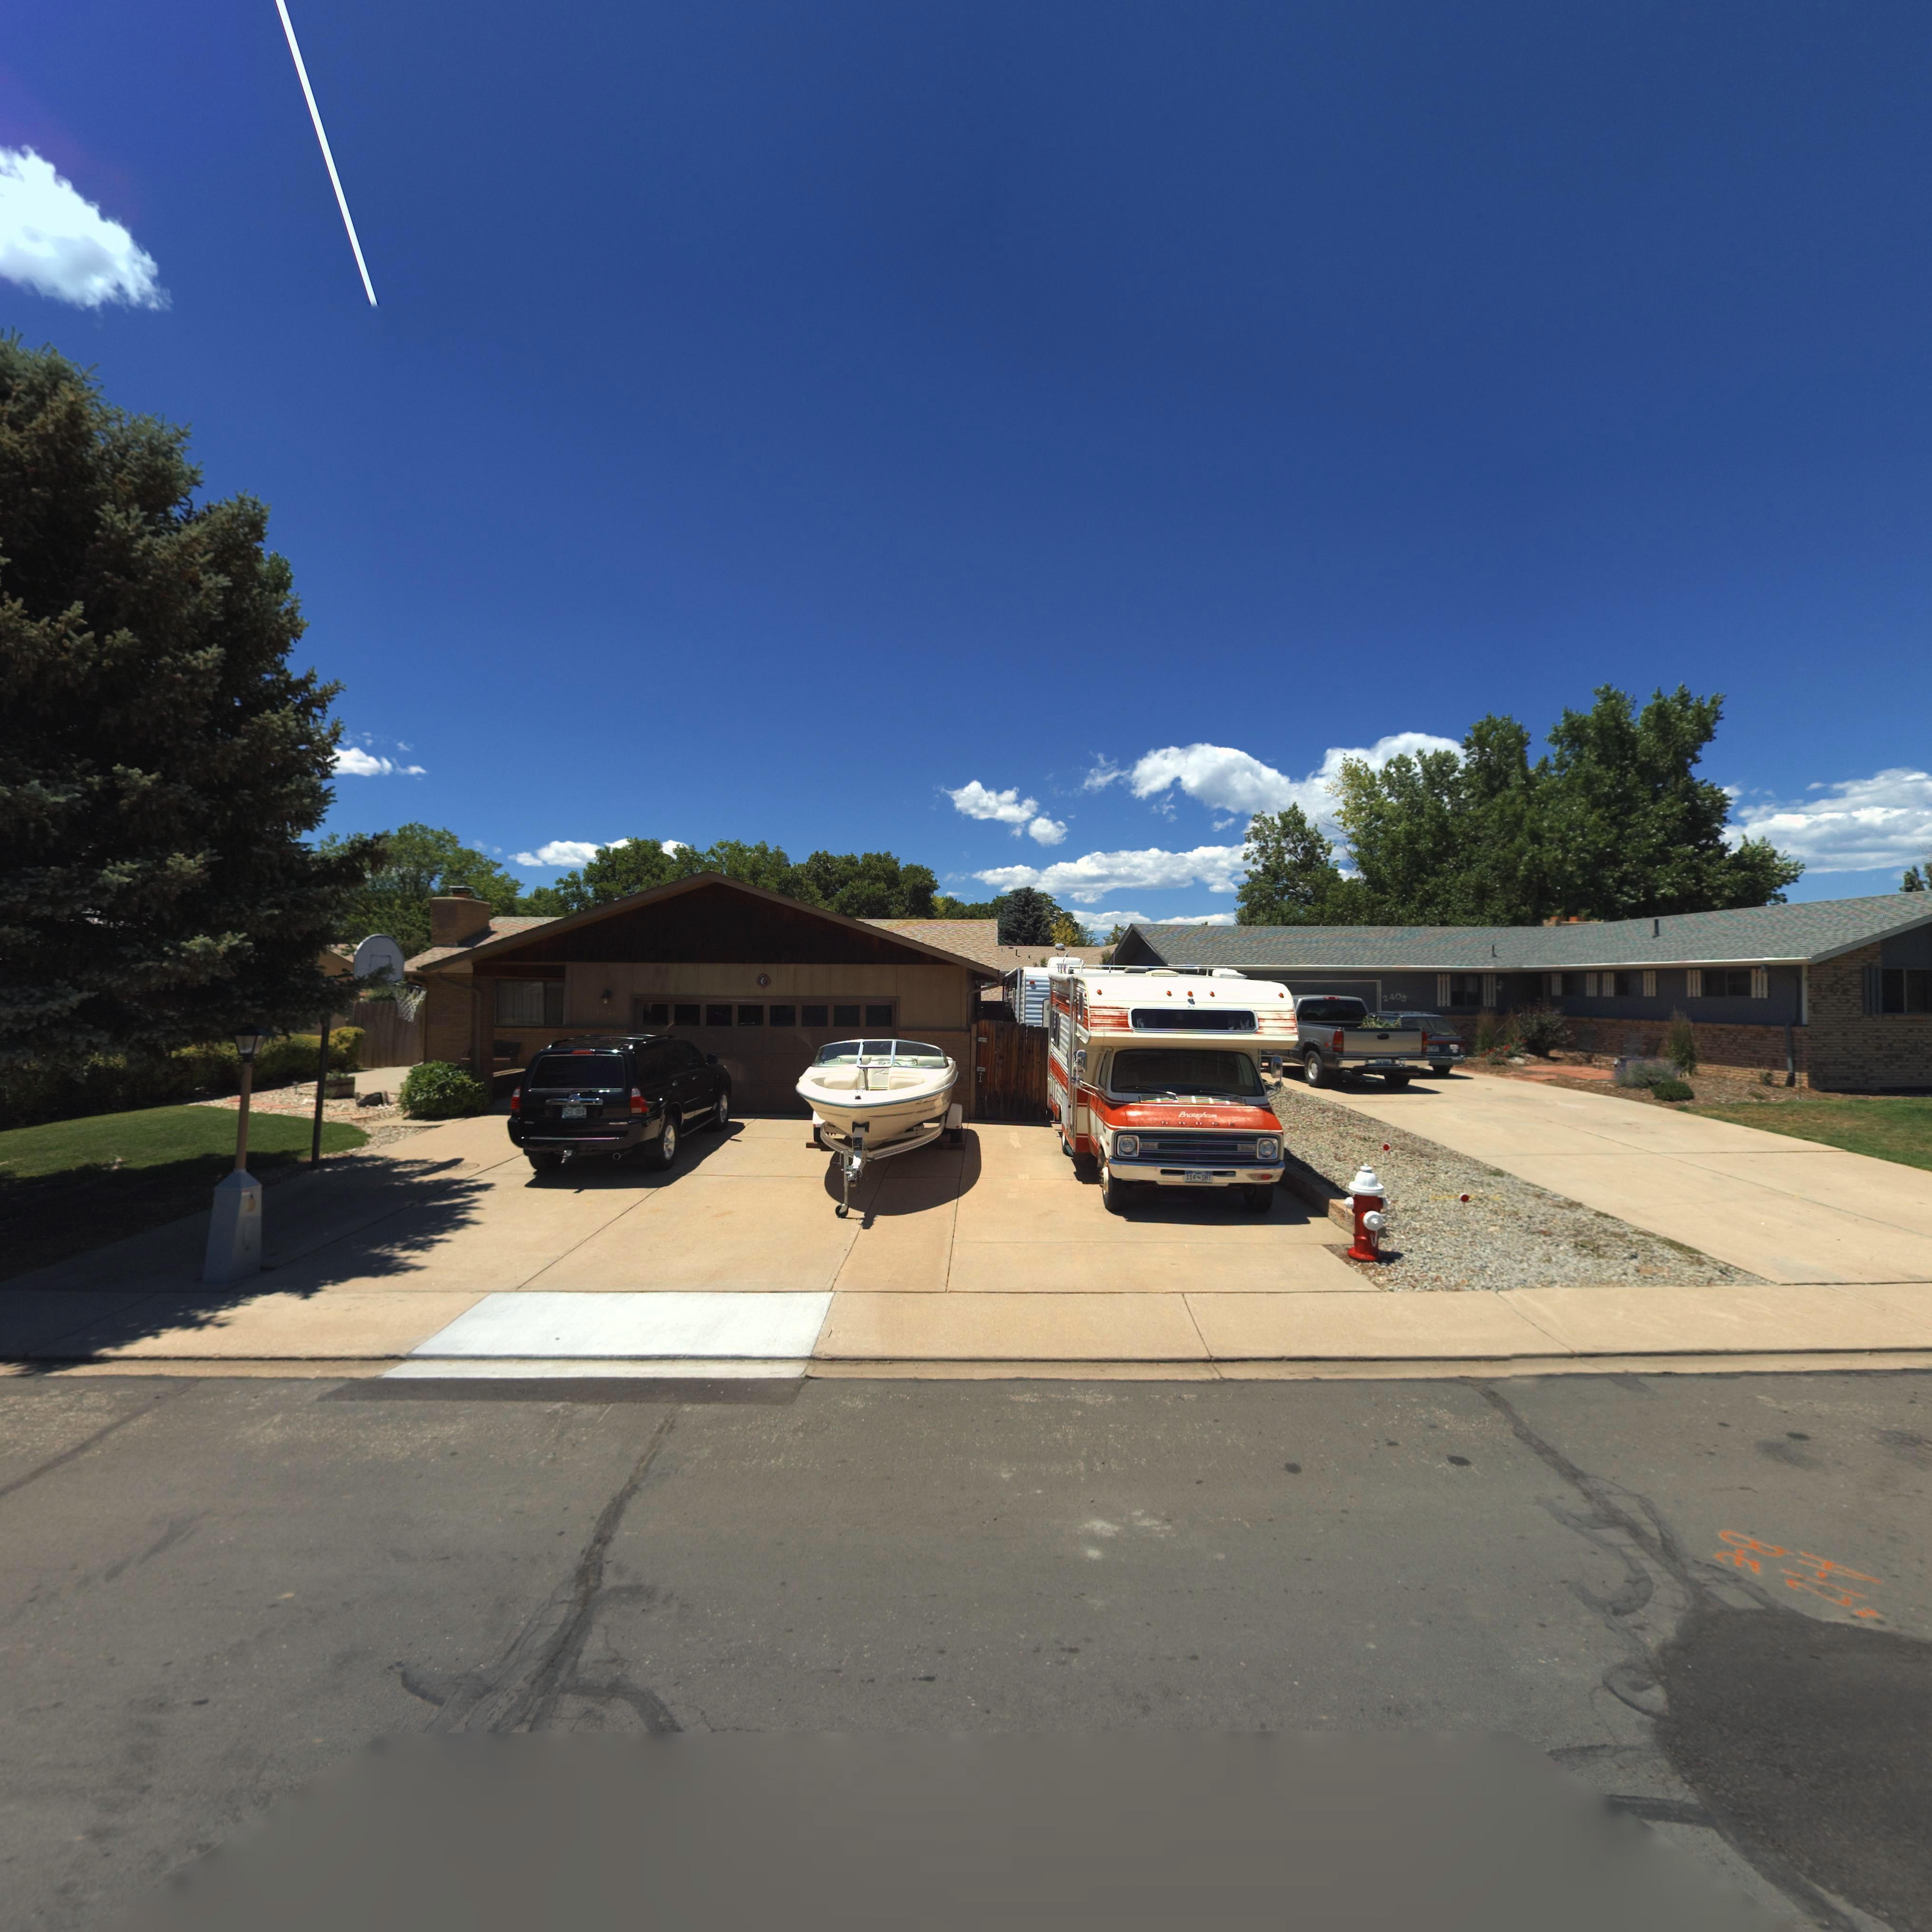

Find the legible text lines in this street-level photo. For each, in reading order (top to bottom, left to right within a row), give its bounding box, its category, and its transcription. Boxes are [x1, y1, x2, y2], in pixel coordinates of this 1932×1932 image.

[1382, 993, 1408, 1002] StreetNumber: 2405
[594, 1008, 616, 1015] StreetNumber: *3**